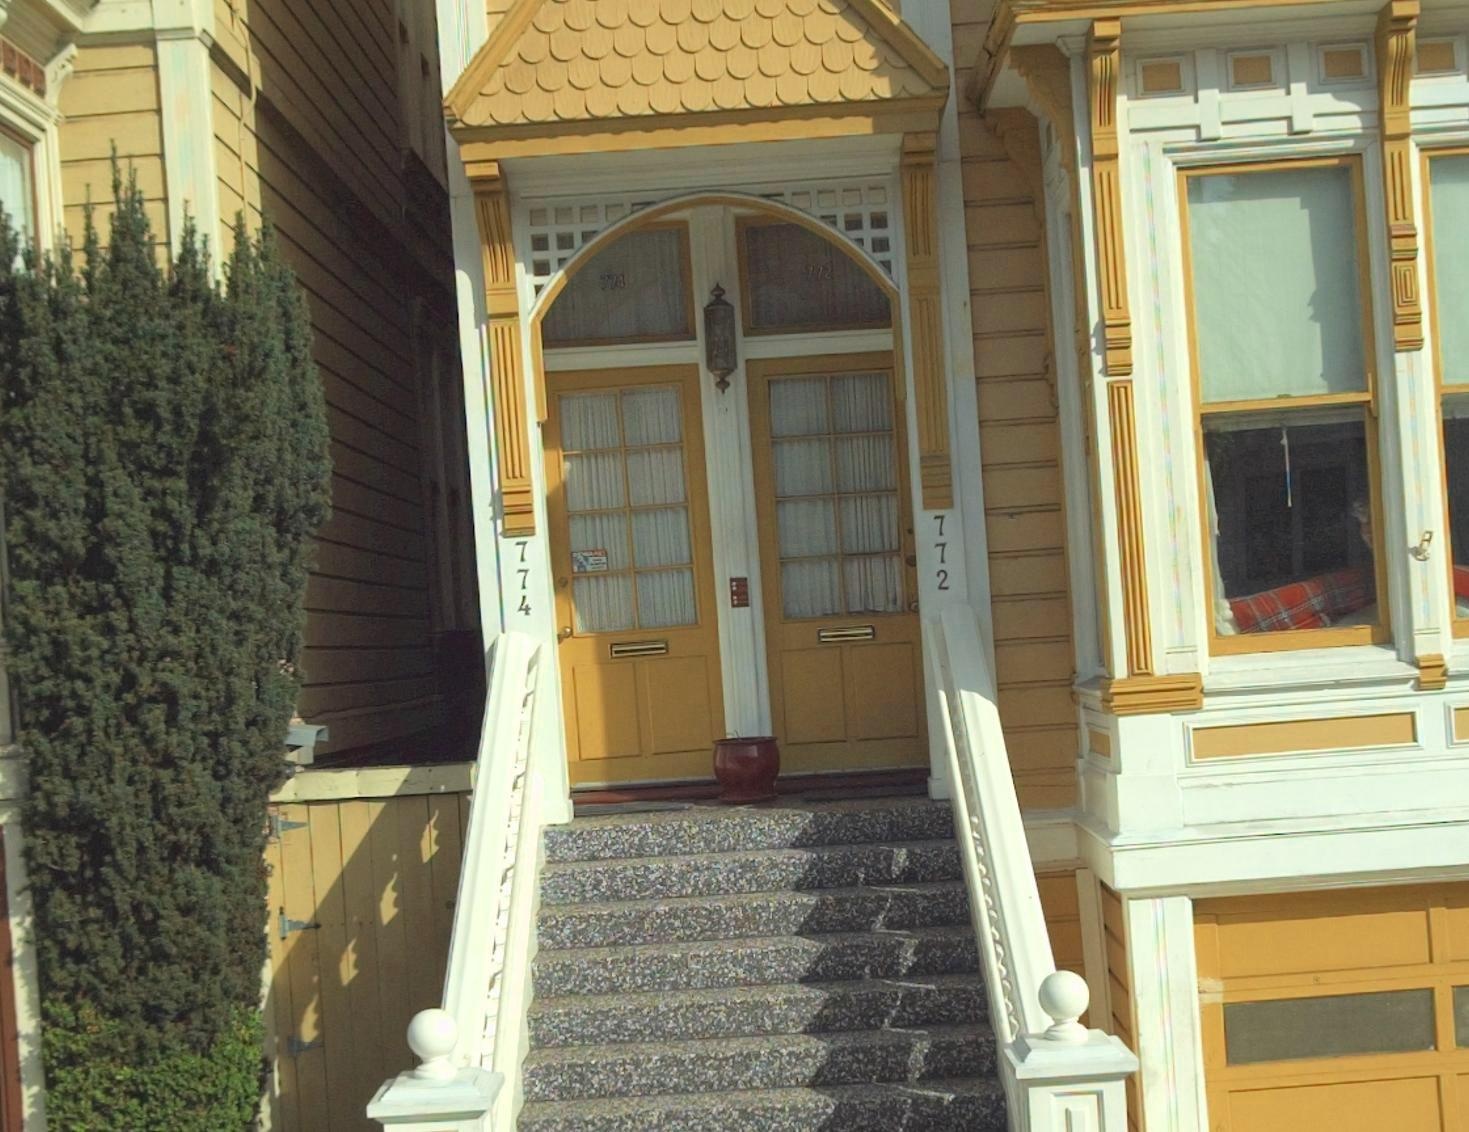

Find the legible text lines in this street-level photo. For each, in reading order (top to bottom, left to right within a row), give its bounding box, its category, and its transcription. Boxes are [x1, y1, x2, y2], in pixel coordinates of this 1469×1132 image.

[508, 538, 537, 622] StreetNumber: 774
[929, 509, 955, 600] StreetNumber: 772